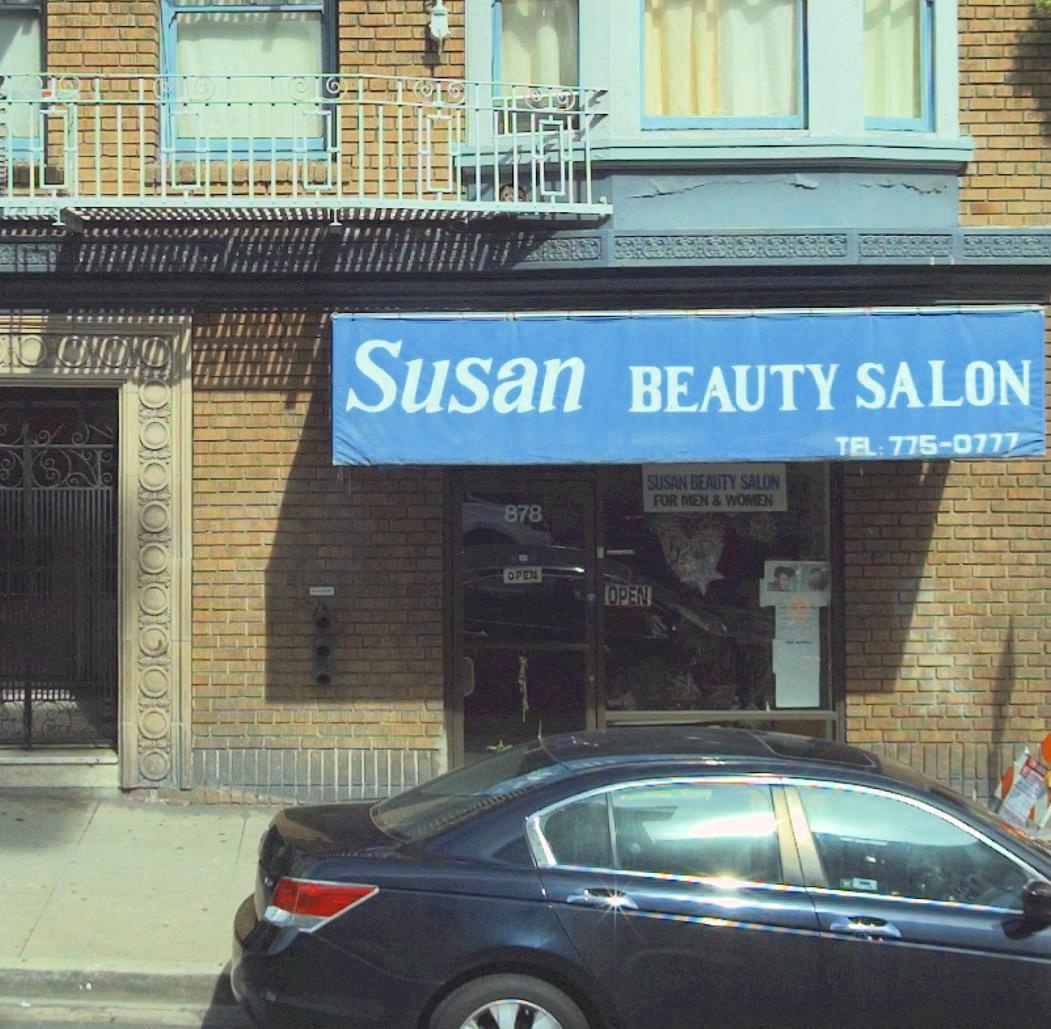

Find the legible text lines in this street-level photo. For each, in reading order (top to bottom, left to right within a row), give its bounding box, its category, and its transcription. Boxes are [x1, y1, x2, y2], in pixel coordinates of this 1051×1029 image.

[337, 324, 1038, 420] BusinessName: Susan BEAUTY SALON
[829, 428, 1024, 459] None: TEL: 775-0777
[642, 470, 785, 494] BusinessName: SUSAN BEAUTY SALON
[500, 500, 547, 527] StreetNumber: 878
[651, 489, 777, 511] None: FOR MEN & WOMEN
[504, 566, 541, 586] None: OPEN
[604, 582, 653, 610] None: OPEN